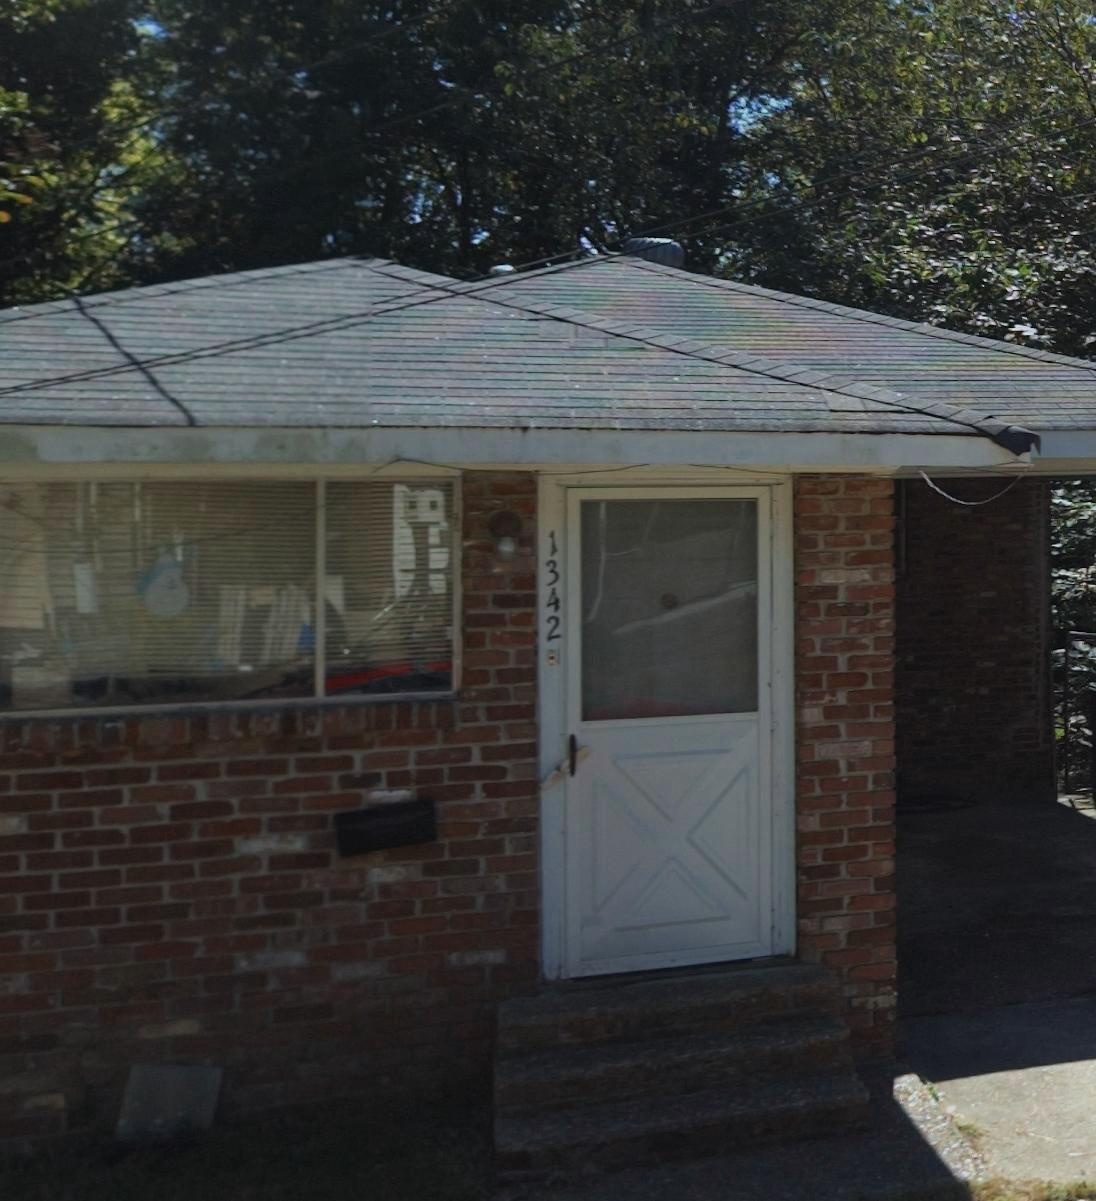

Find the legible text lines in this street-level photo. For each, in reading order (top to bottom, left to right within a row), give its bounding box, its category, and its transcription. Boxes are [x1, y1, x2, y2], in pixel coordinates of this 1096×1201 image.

[543, 527, 565, 646] StreetNumber: 1342